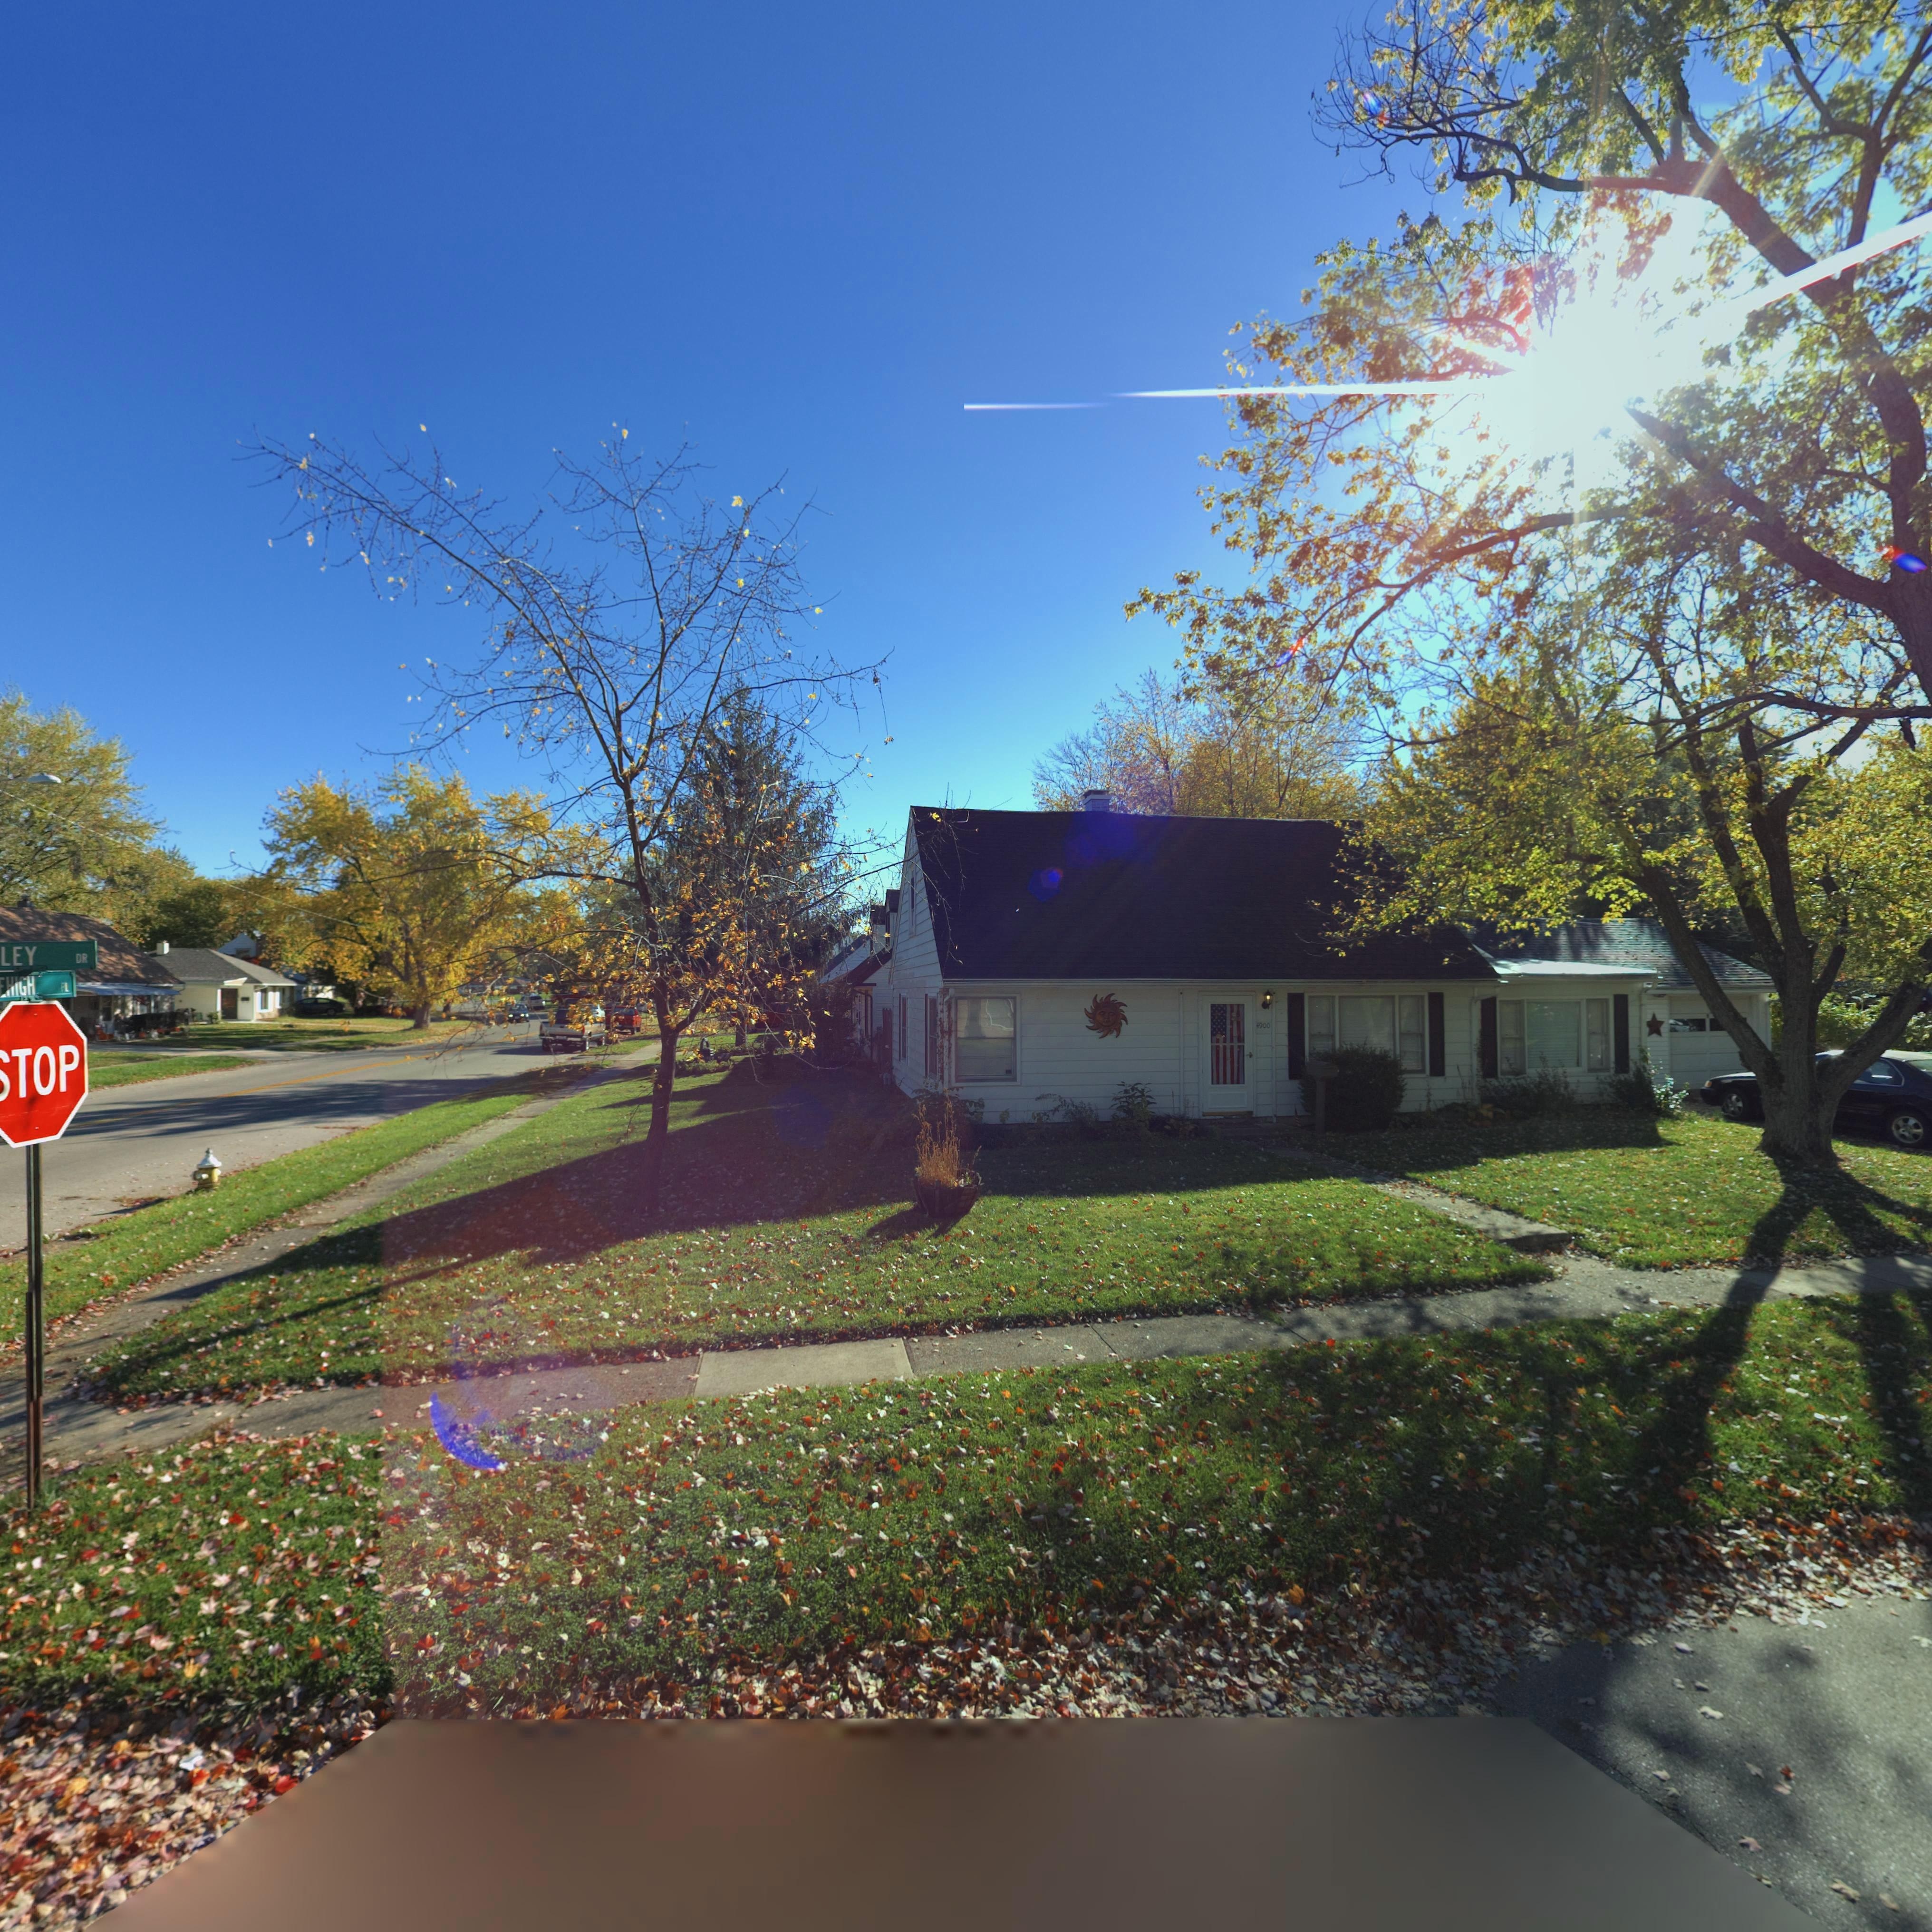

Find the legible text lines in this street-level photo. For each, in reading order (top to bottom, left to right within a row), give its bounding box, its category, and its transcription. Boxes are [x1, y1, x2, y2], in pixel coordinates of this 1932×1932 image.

[1255, 1022, 1271, 1030] StreetNumber: 4900